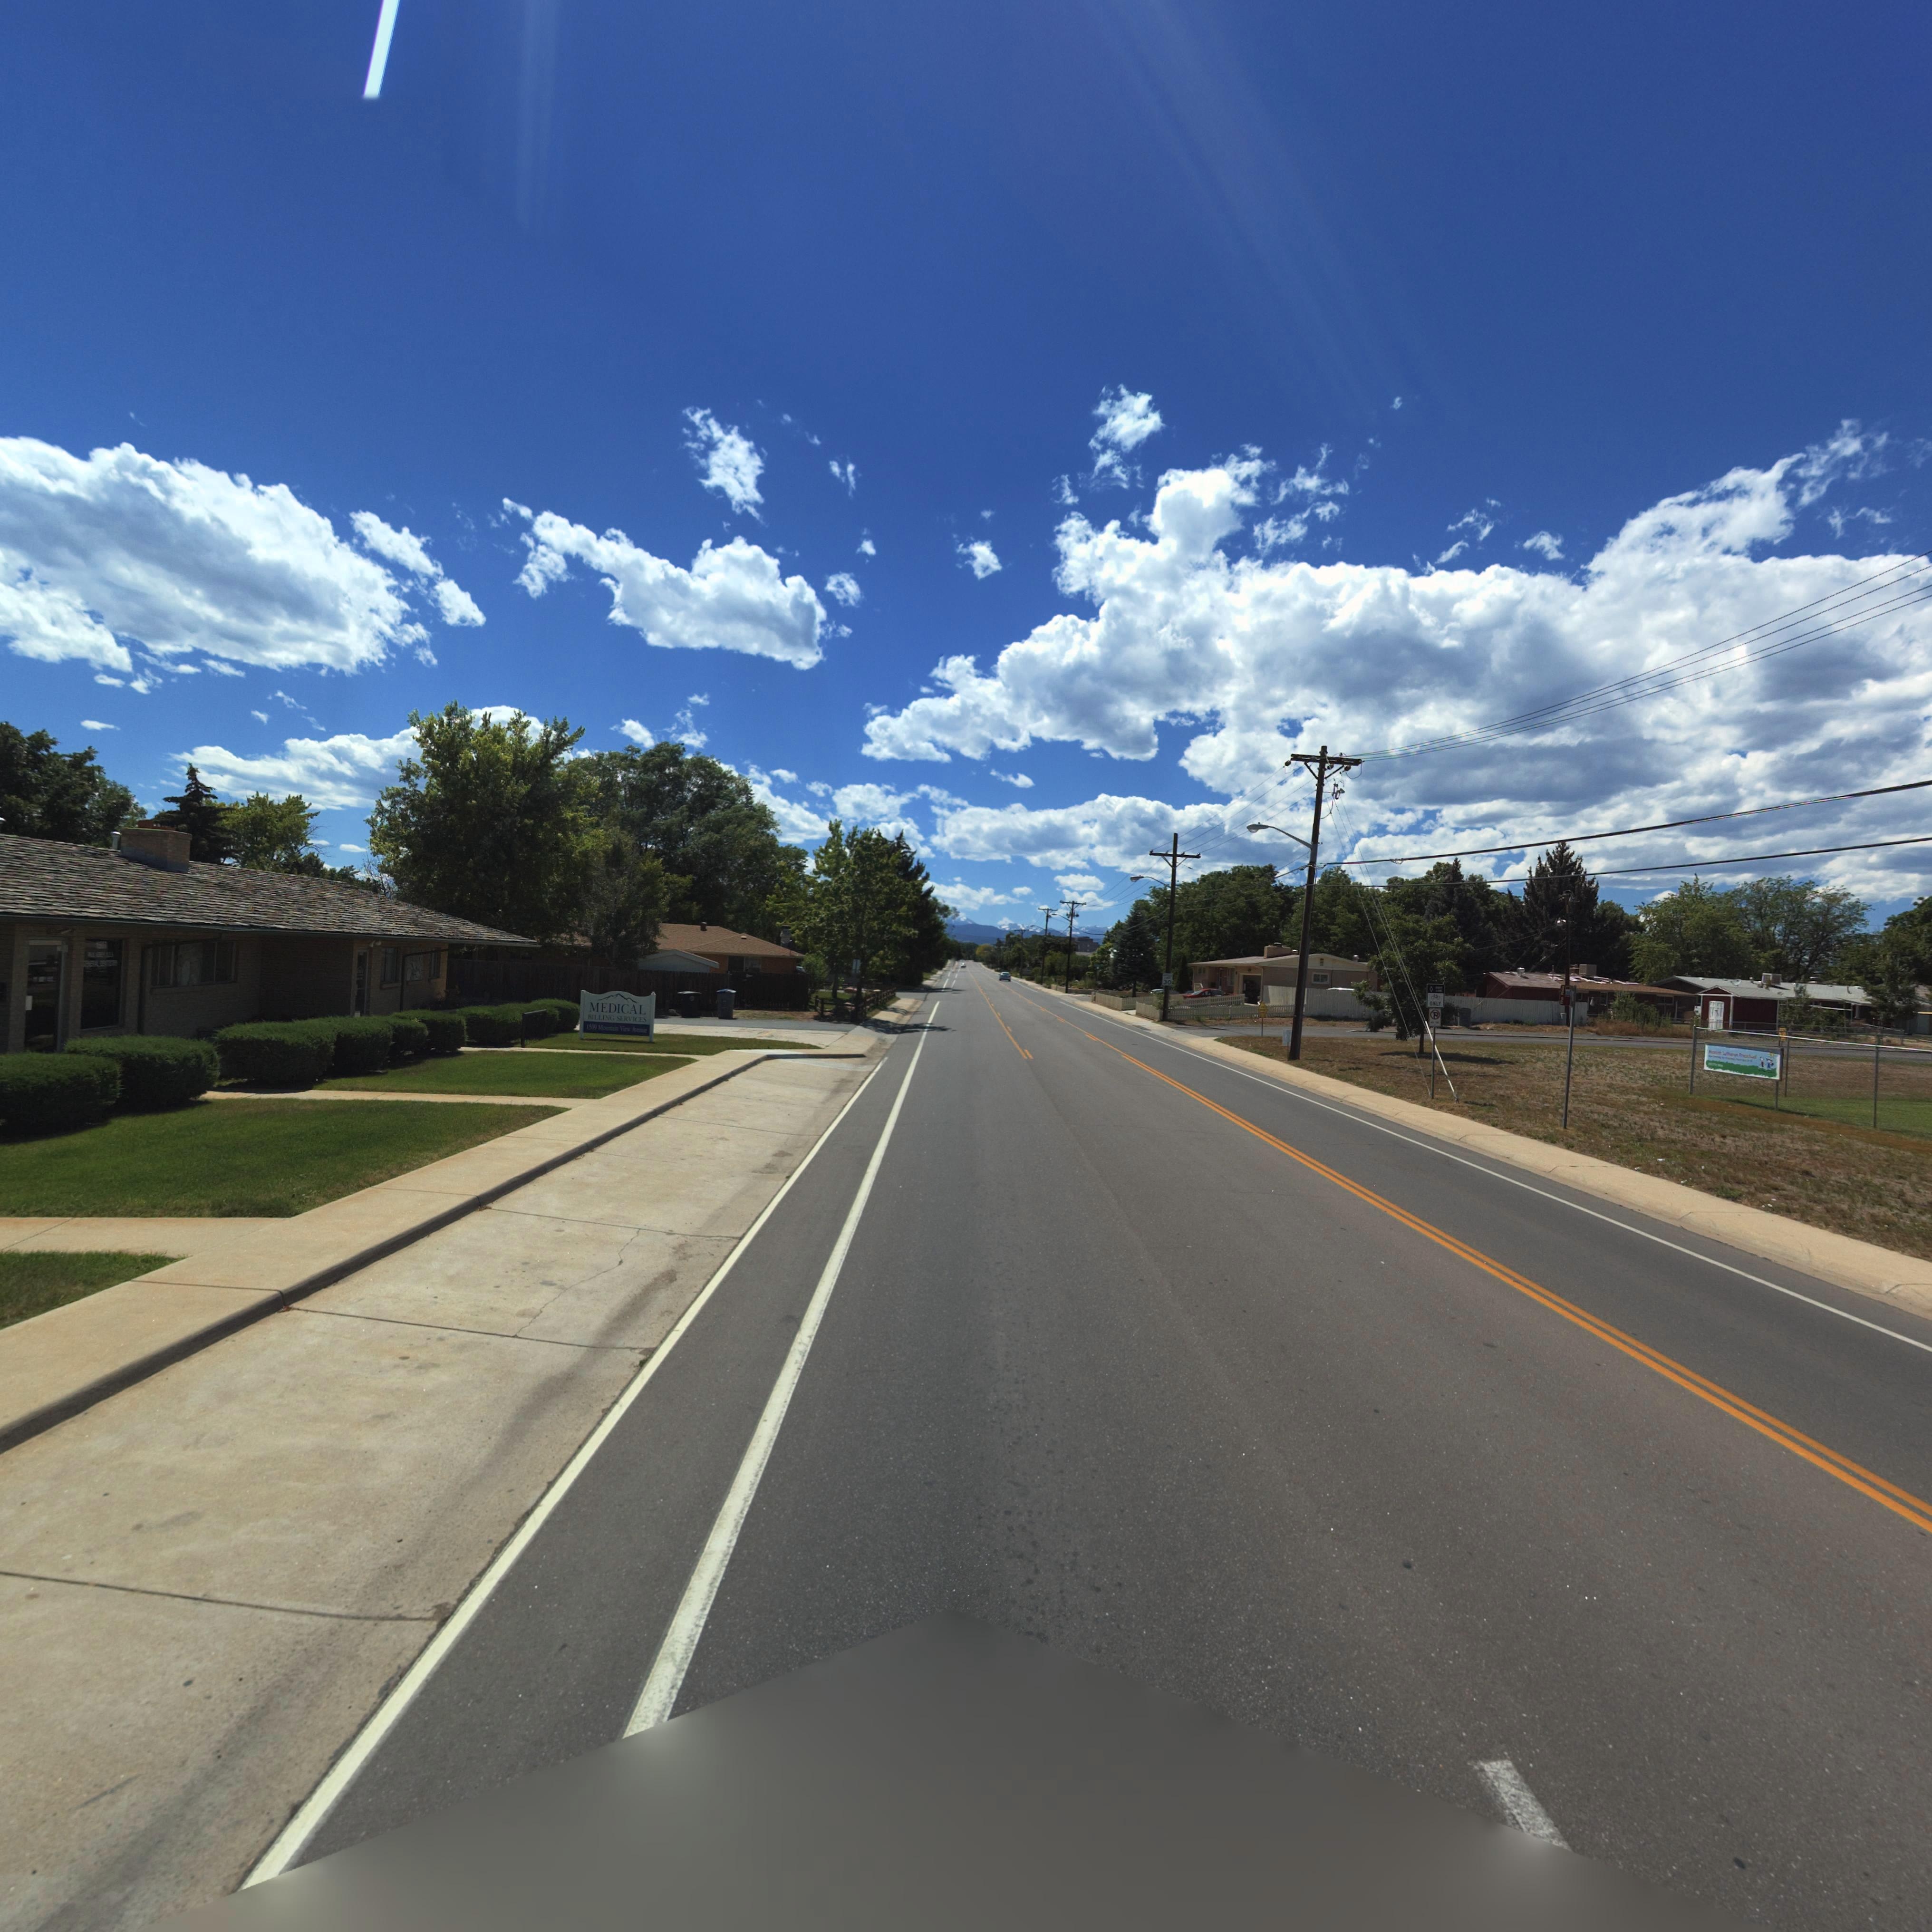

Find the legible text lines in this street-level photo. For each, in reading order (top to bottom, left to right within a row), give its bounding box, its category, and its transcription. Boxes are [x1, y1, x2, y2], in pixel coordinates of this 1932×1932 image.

[94, 941, 108, 949] StreetNumber: 150*
[589, 1001, 646, 1015] BusinessName: MEDICAL
[588, 1014, 647, 1023] BusinessName: HILLING SERVICES
[586, 1023, 598, 1030] StreetNumber: 1509
[598, 1024, 647, 1033] StreetName: Mountain View  Avenue